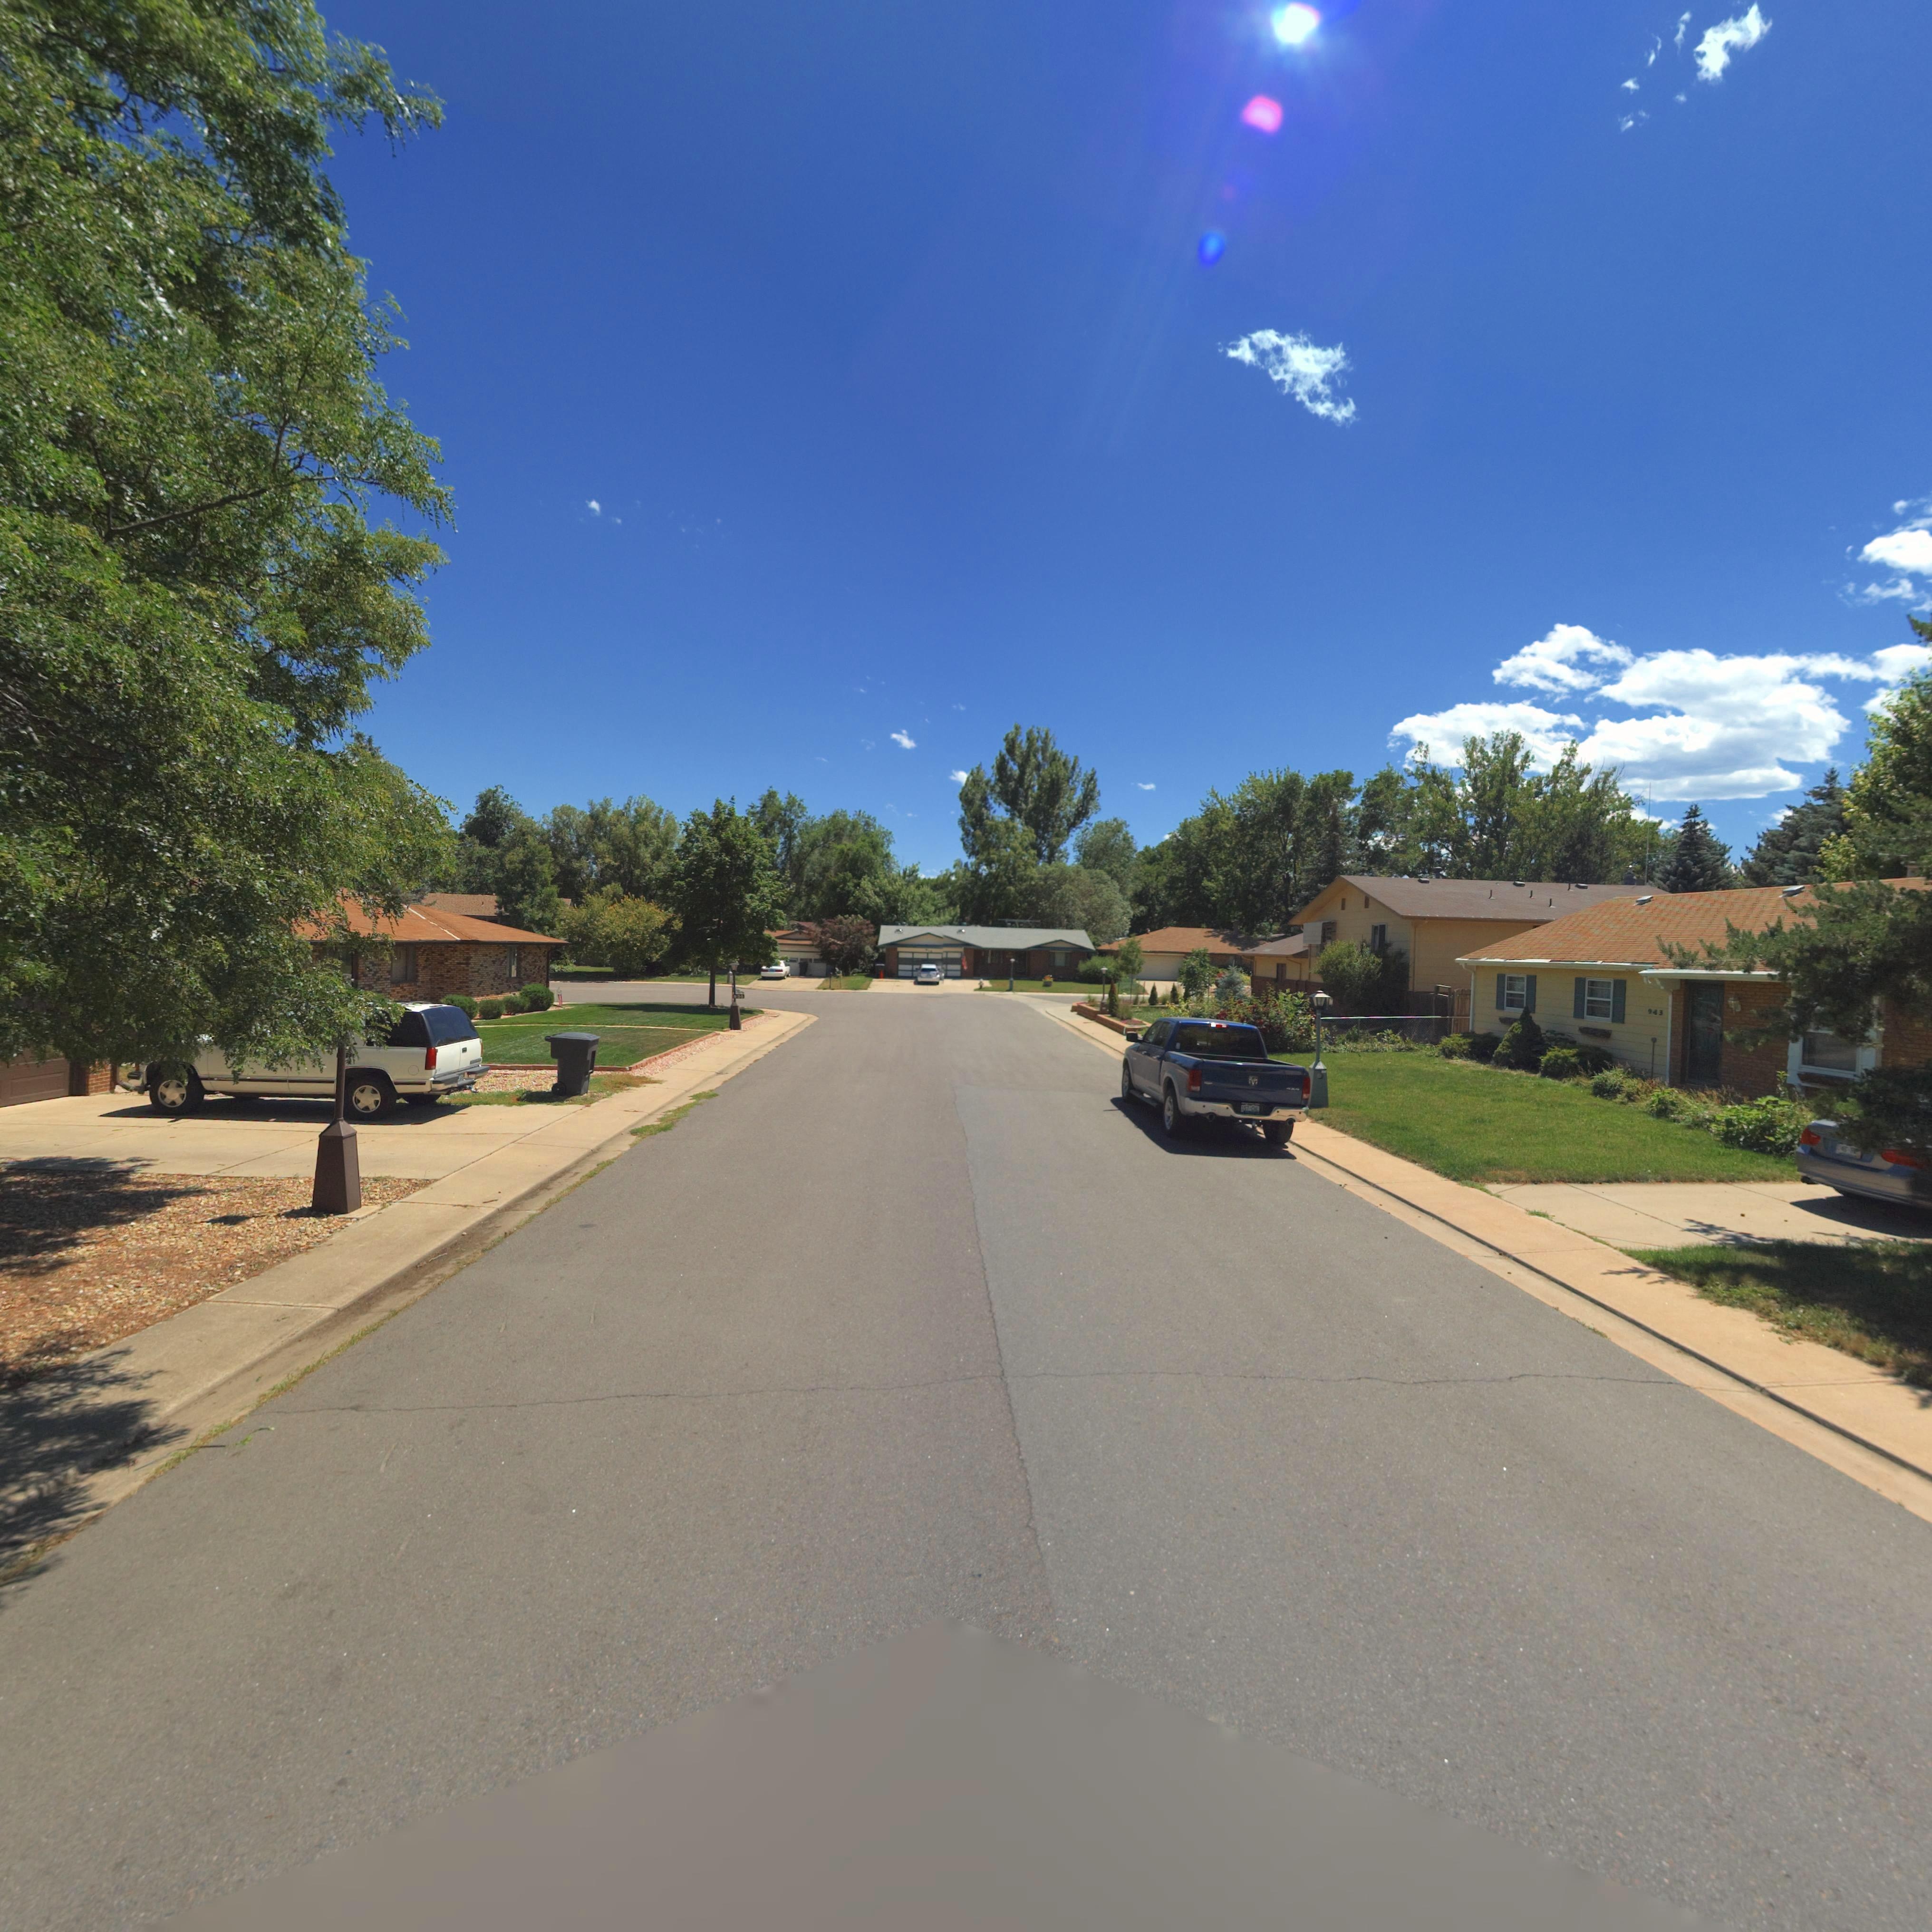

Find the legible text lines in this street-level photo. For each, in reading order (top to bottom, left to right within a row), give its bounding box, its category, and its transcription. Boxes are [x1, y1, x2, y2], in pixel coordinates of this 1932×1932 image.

[733, 994, 743, 998] StreetNumber: *38
[1648, 1008, 1663, 1016] StreetNumber: 943